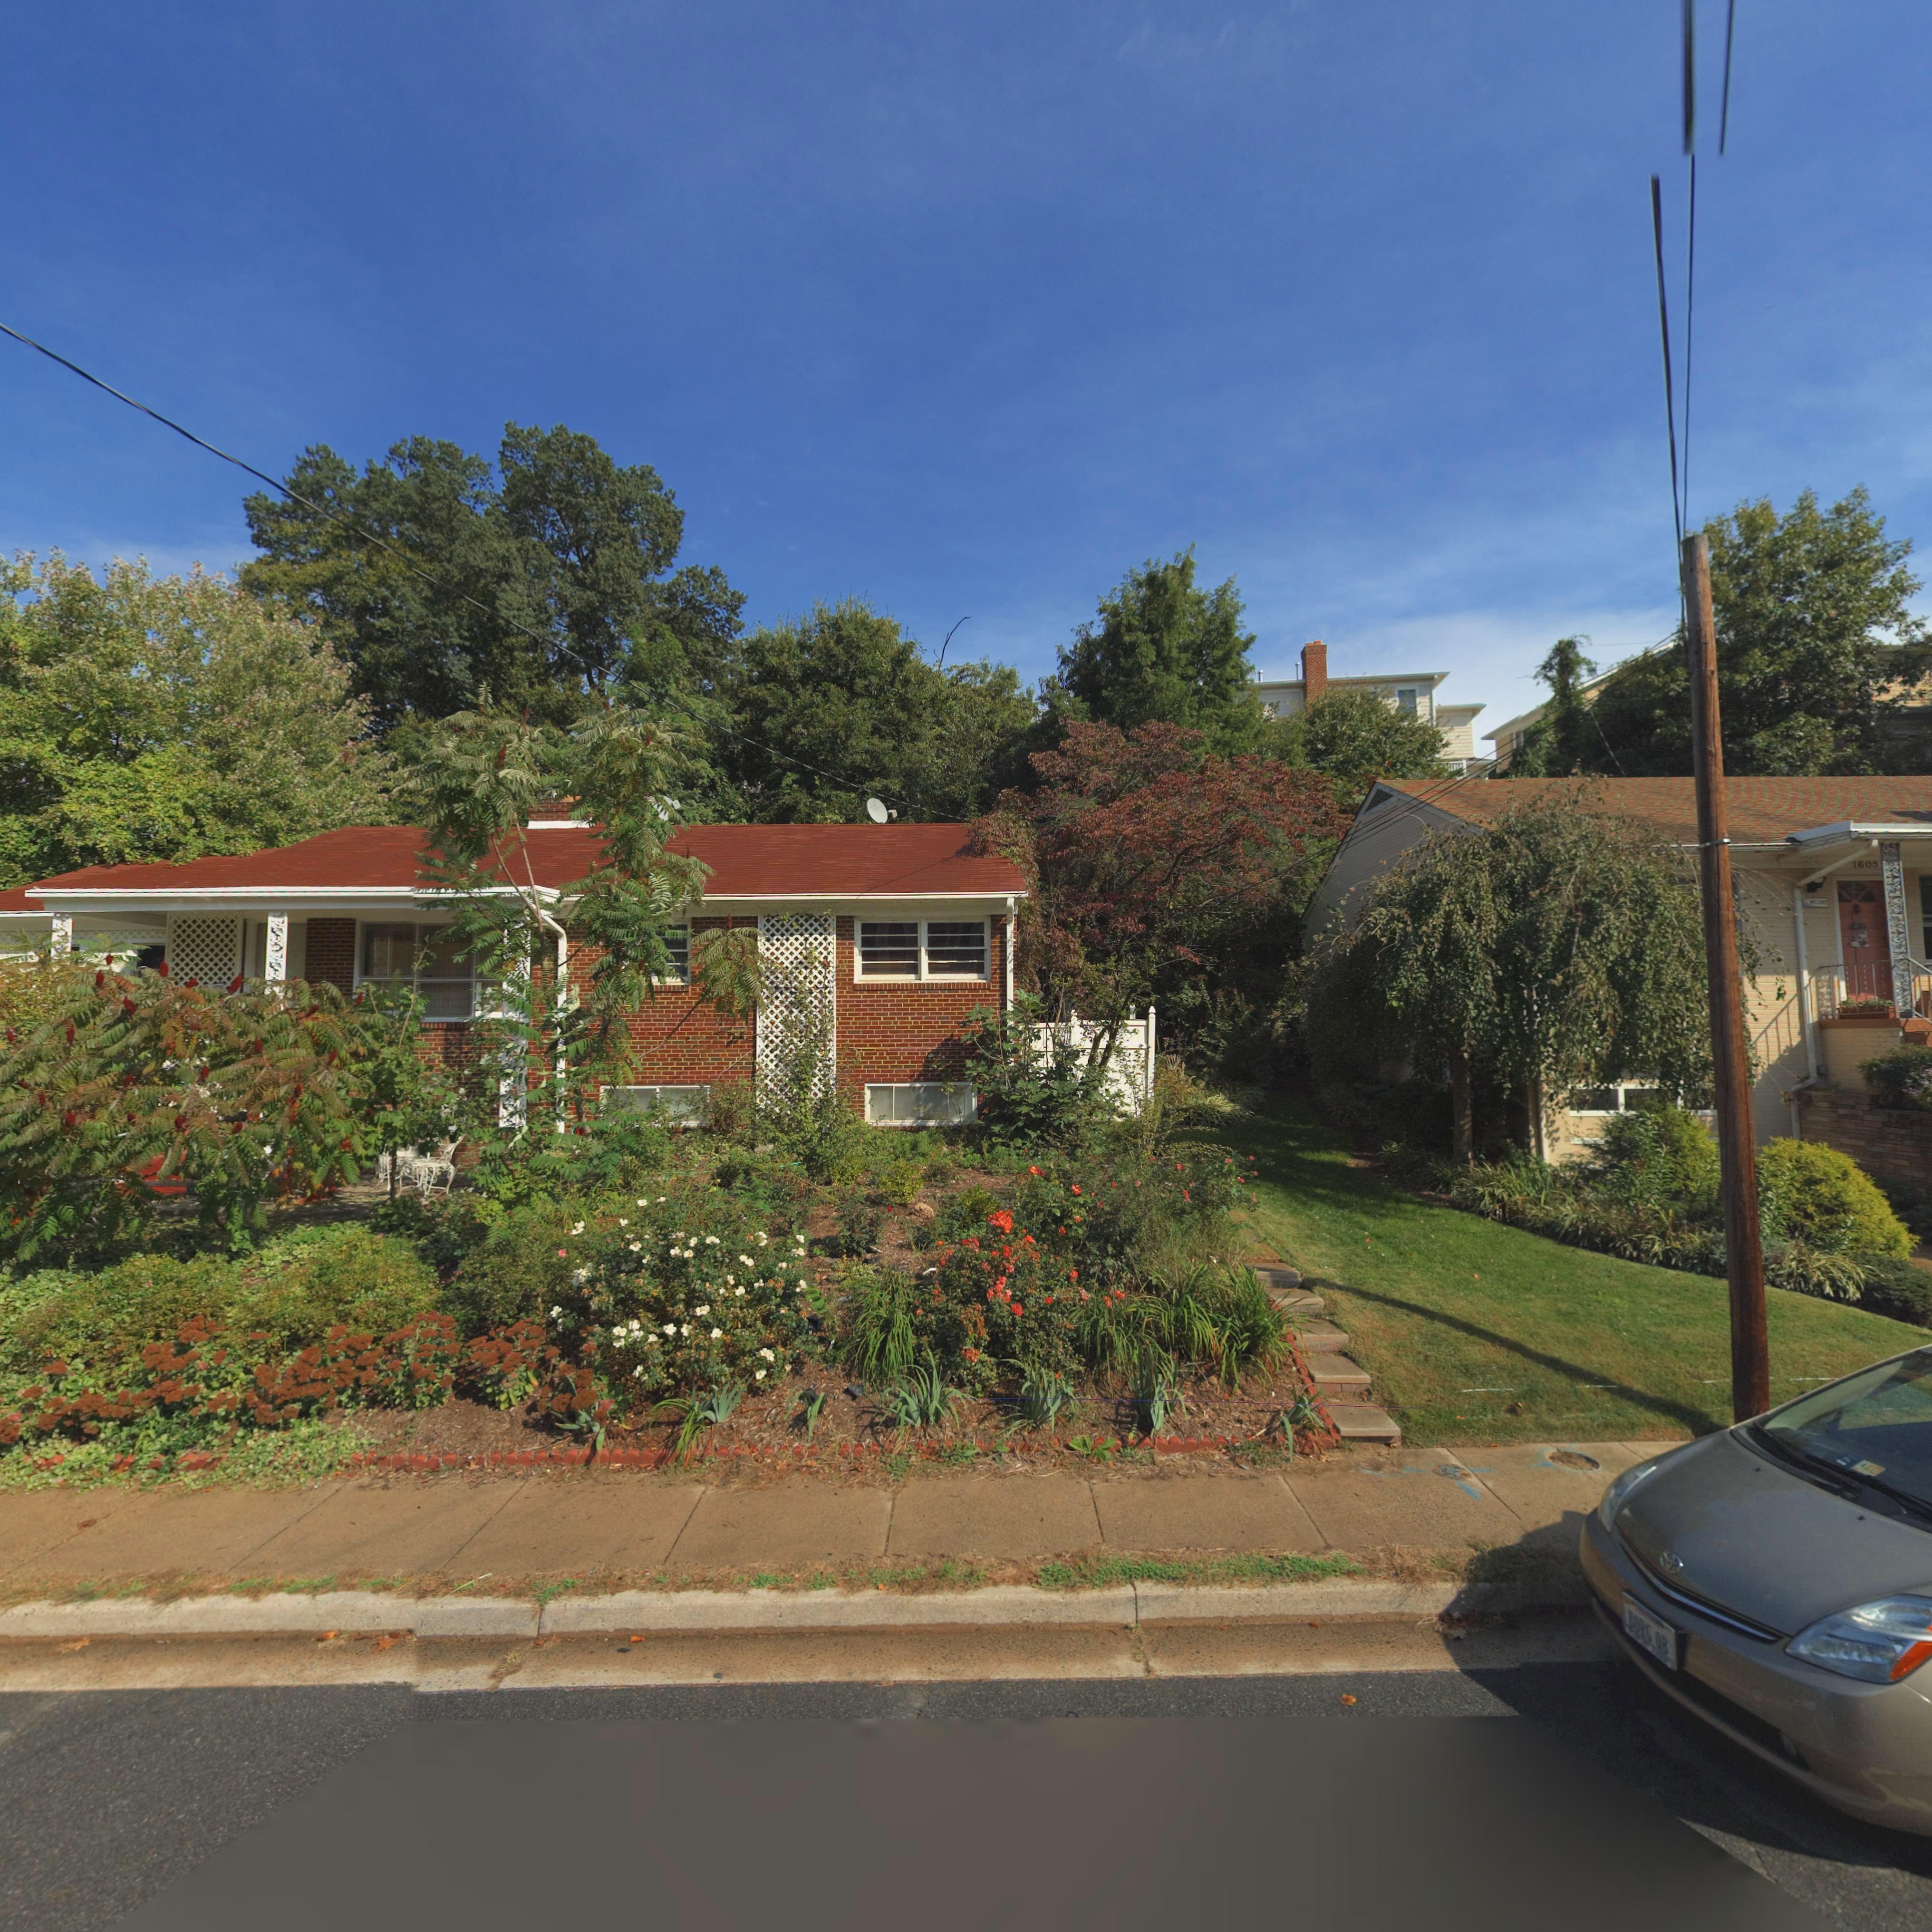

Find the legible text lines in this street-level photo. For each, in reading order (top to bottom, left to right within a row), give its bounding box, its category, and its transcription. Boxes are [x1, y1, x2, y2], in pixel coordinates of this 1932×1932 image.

[1852, 860, 1879, 869] StreetNumber: 1605